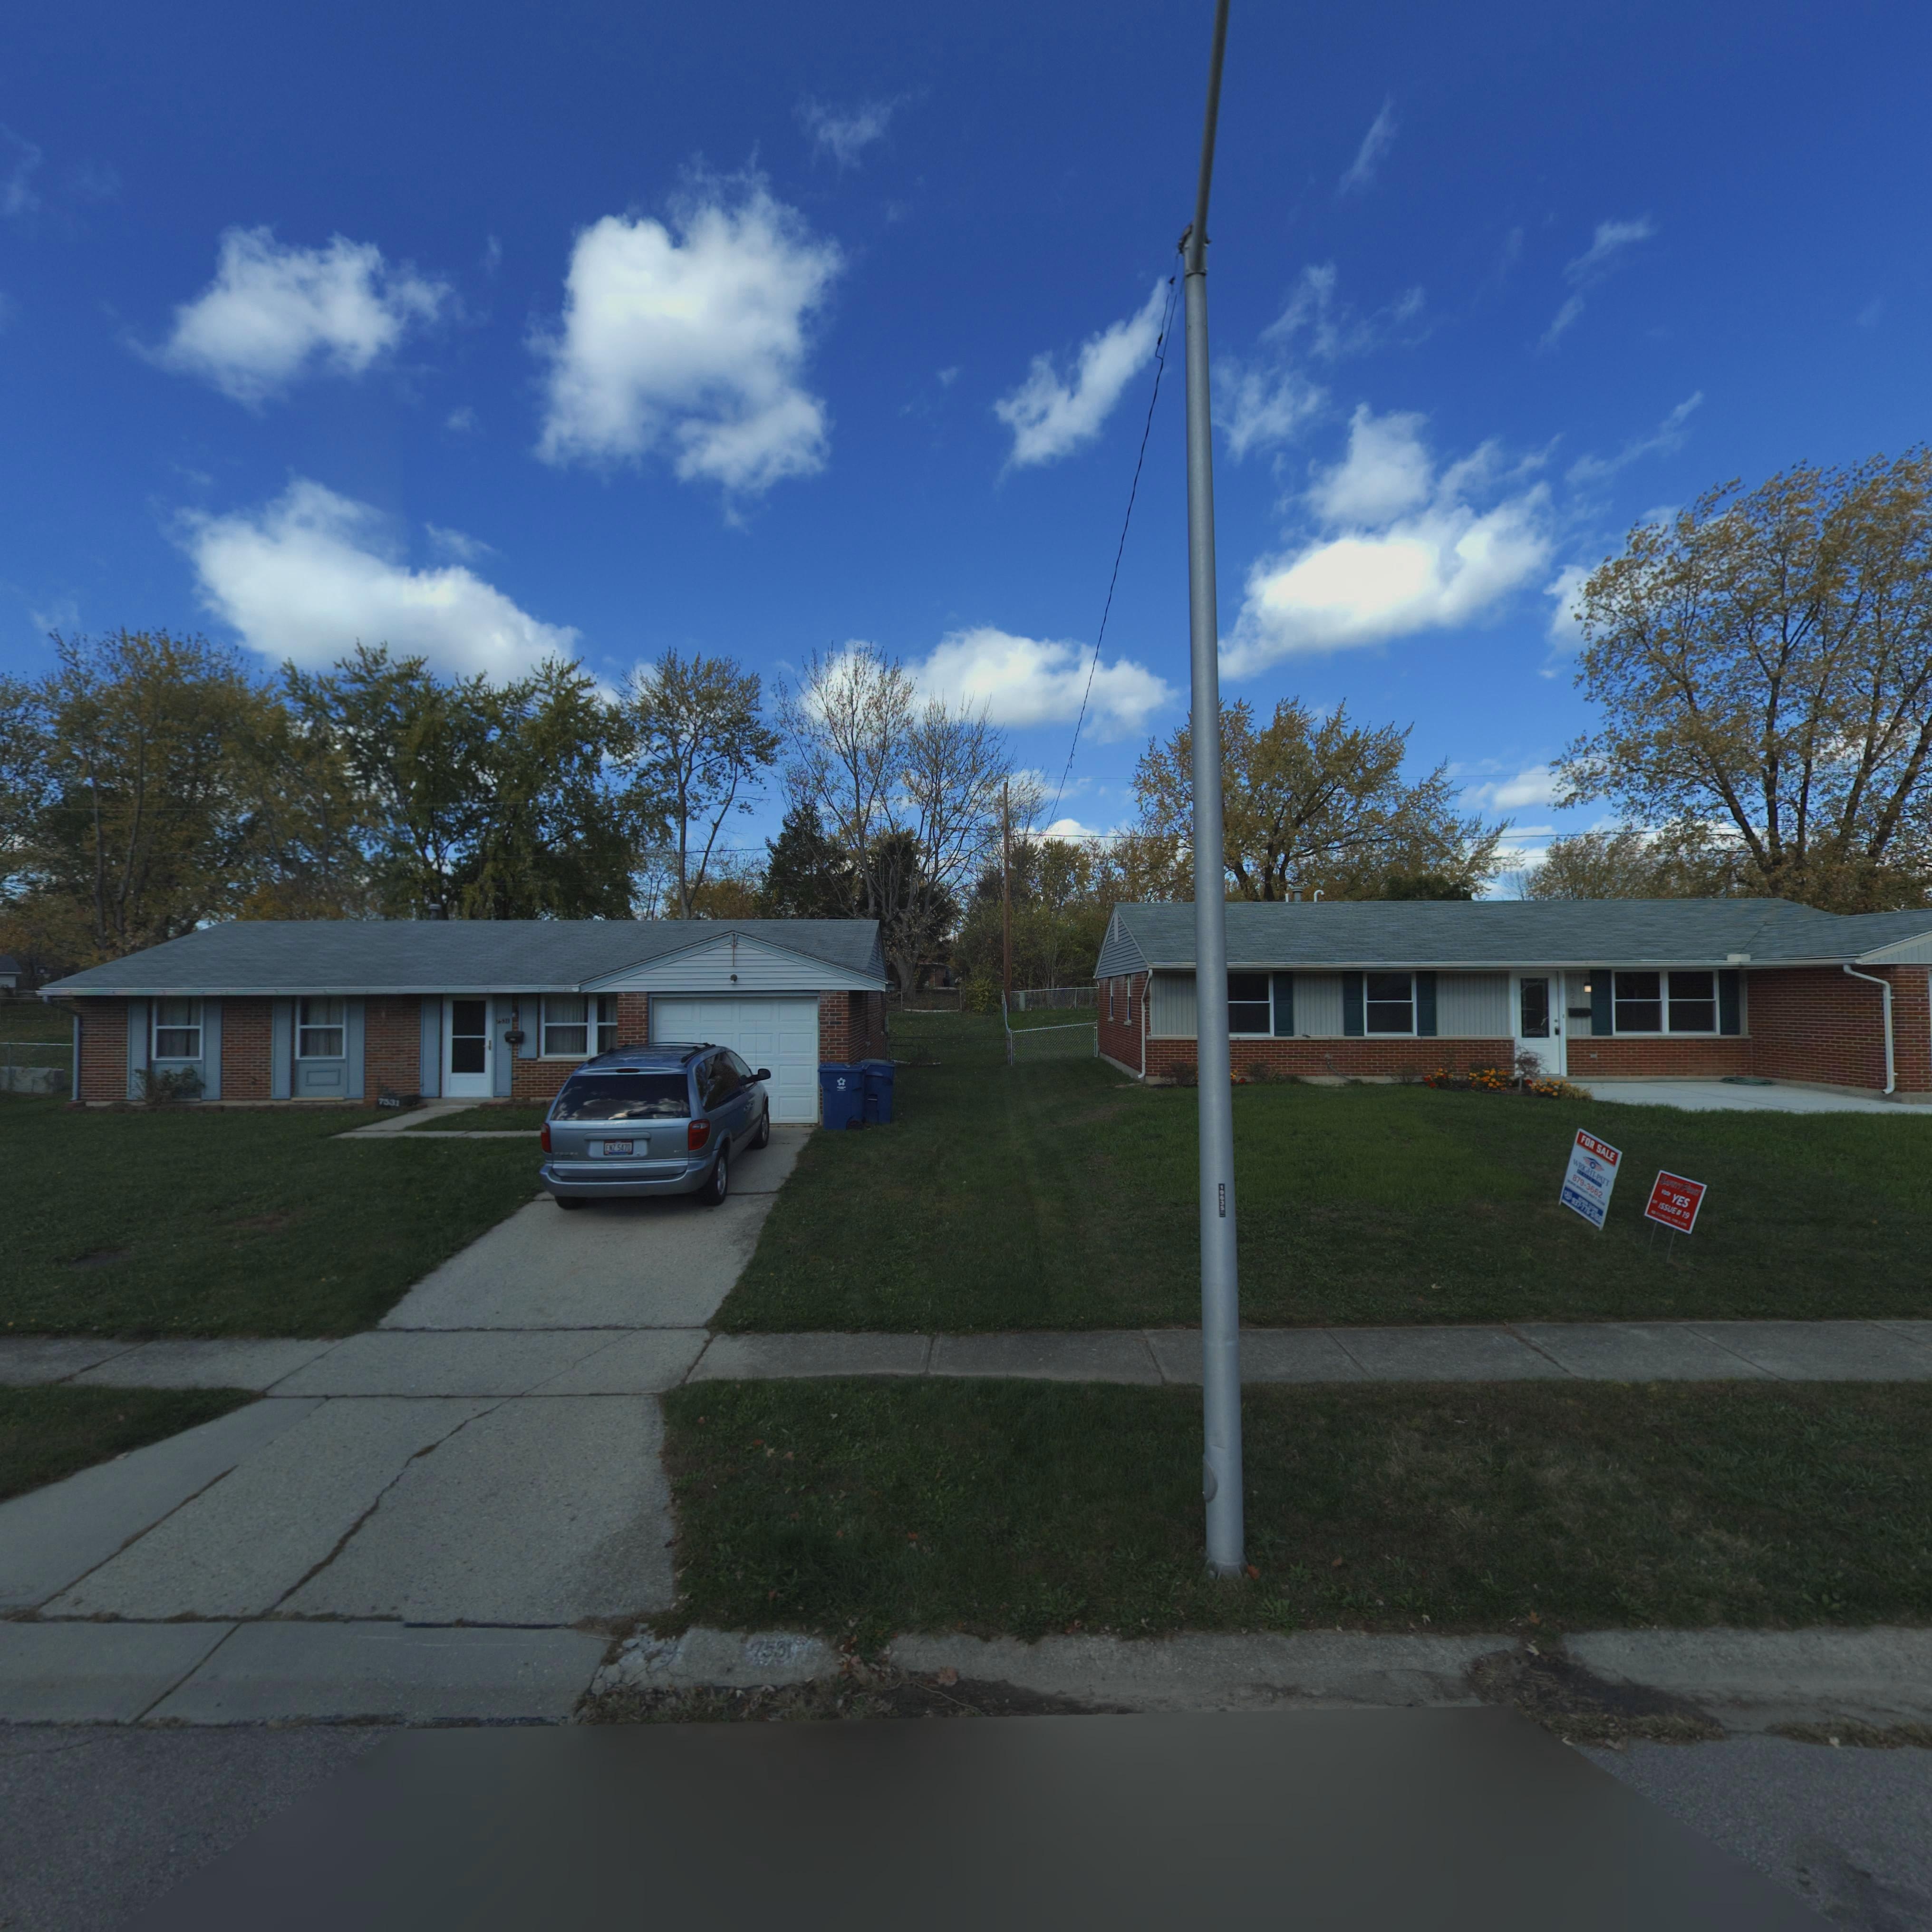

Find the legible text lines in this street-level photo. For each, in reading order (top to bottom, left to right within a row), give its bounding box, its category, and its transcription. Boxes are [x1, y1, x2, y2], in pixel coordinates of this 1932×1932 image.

[1570, 987, 1575, 1006] StreetNumber: 543
[495, 1018, 509, 1024] StreetNumber: 7531
[377, 1097, 400, 1107] StreetNumber: 7531
[753, 1640, 793, 1659] StreetNumber: 7531